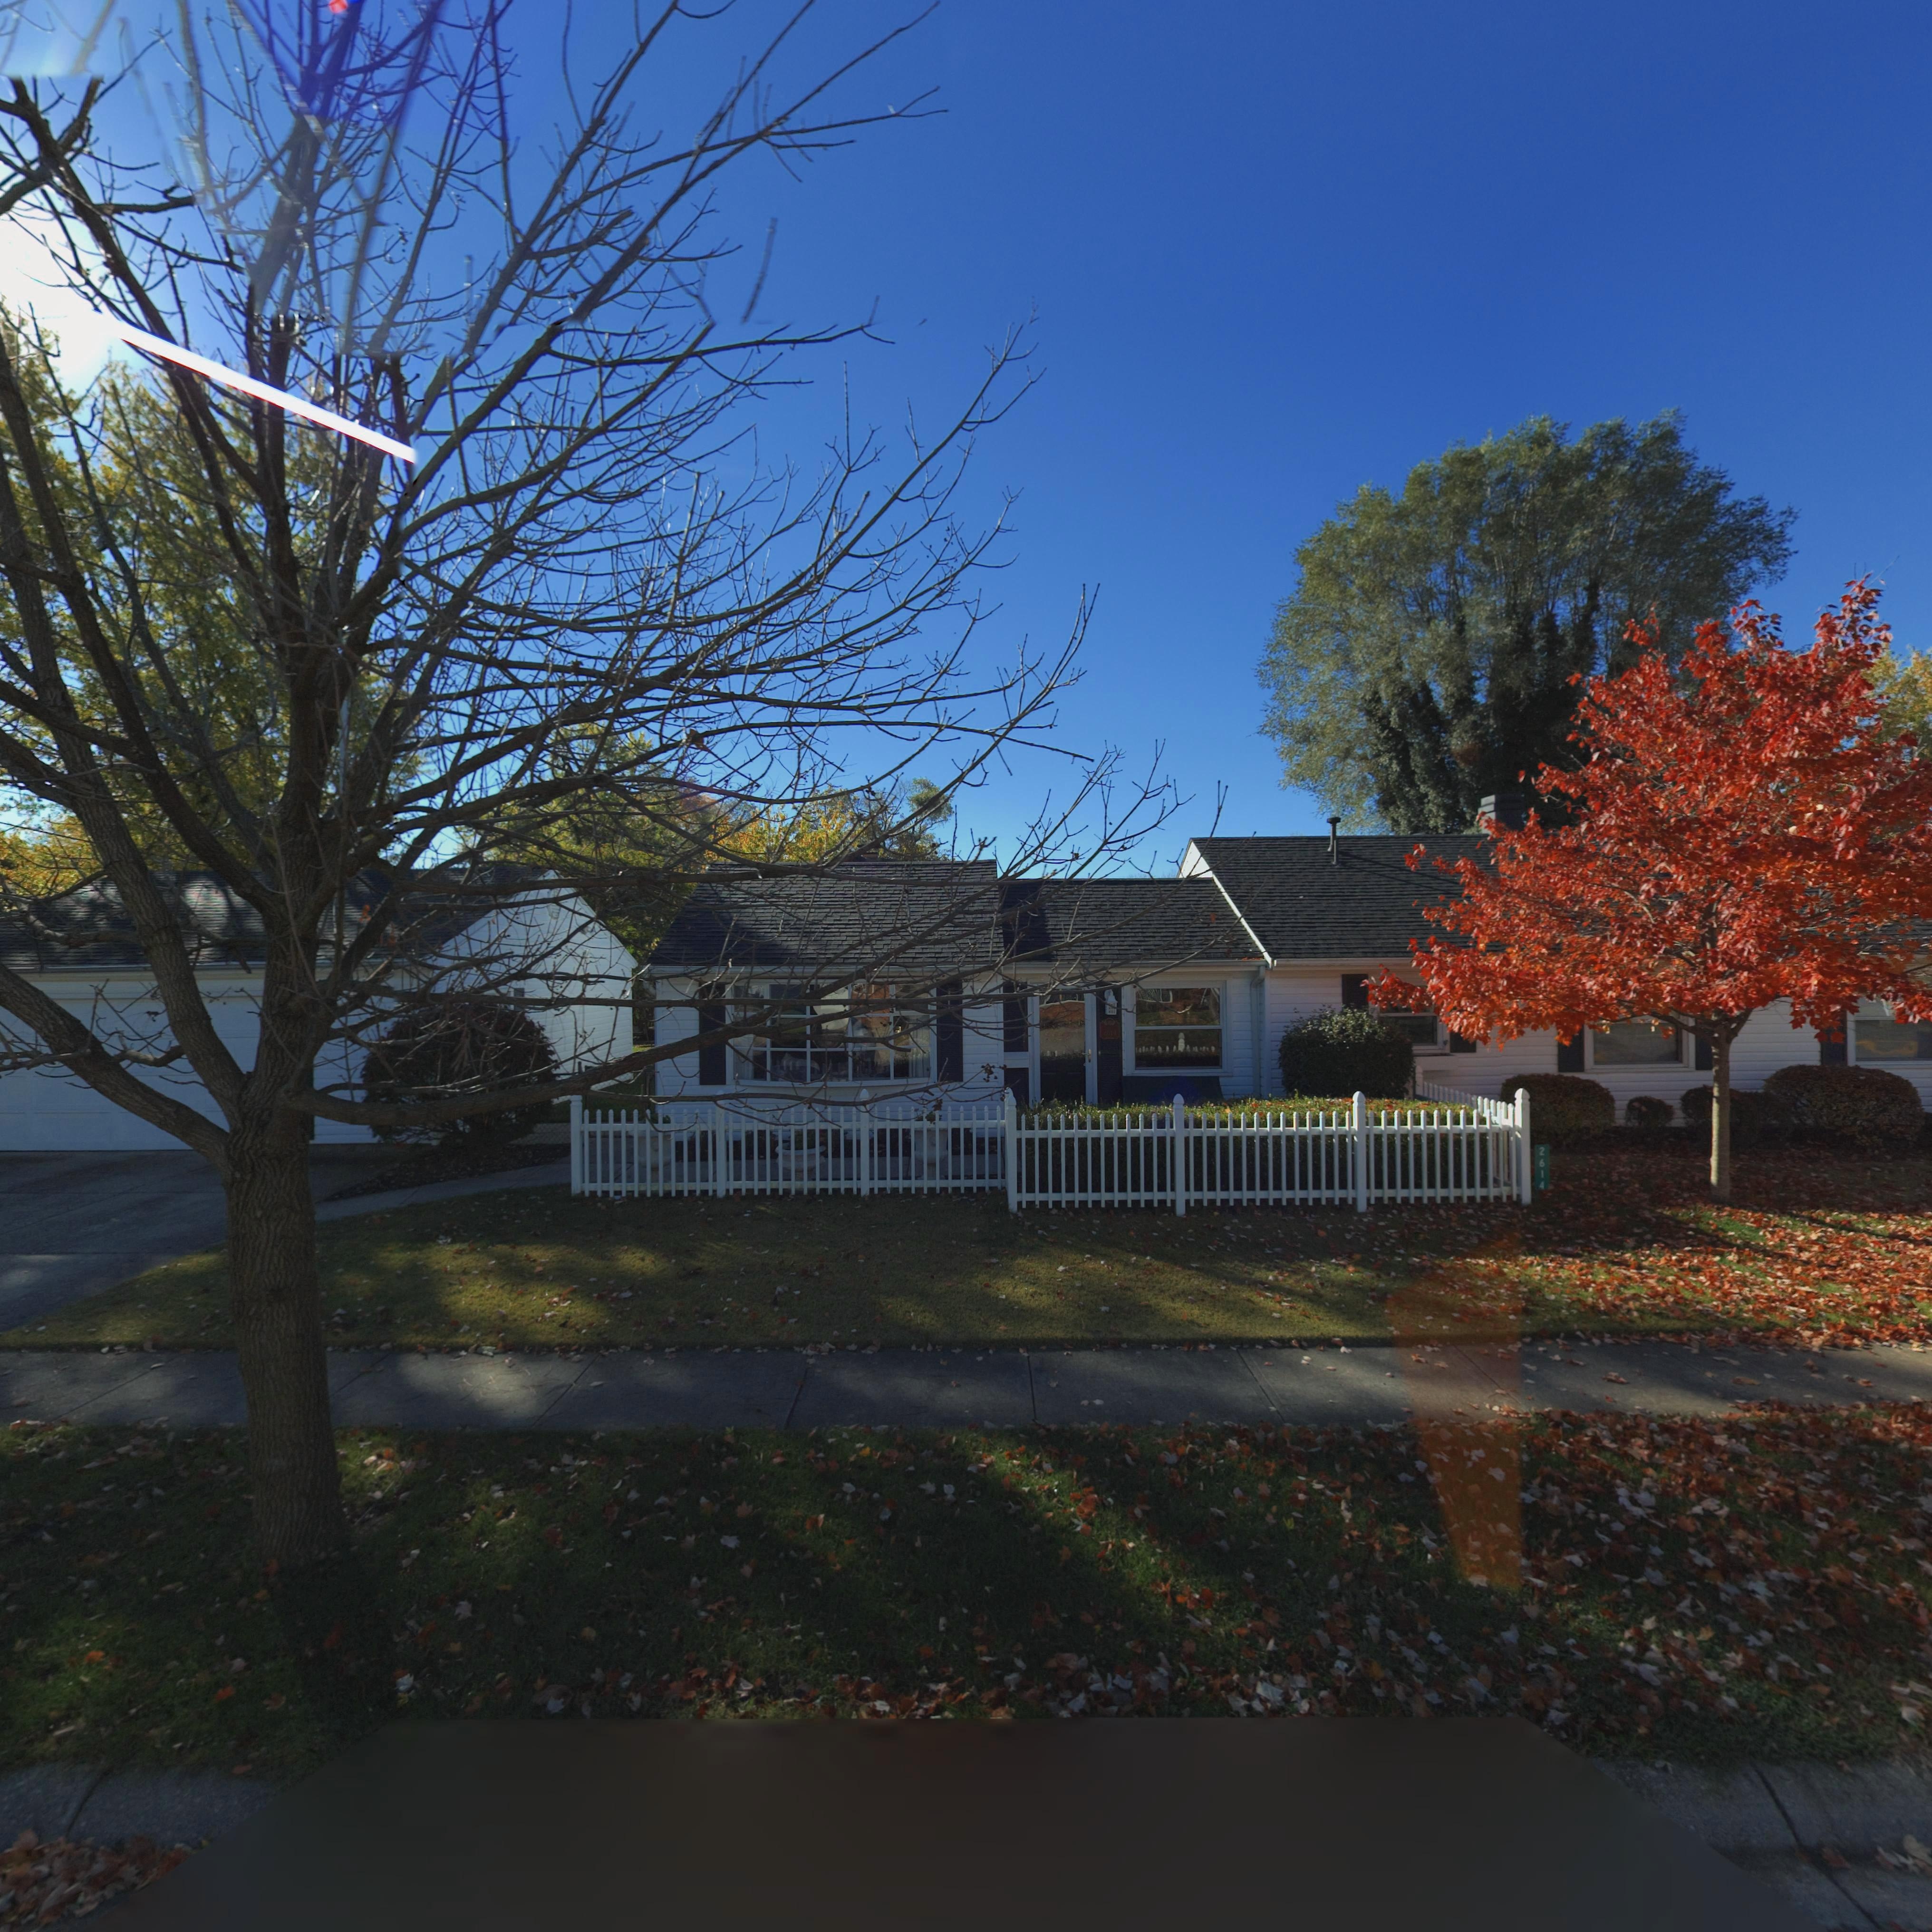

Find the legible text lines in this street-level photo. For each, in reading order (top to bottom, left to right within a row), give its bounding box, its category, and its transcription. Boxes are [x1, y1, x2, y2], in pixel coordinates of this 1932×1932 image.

[1538, 1145, 1546, 1189] StreetNumber: 2614